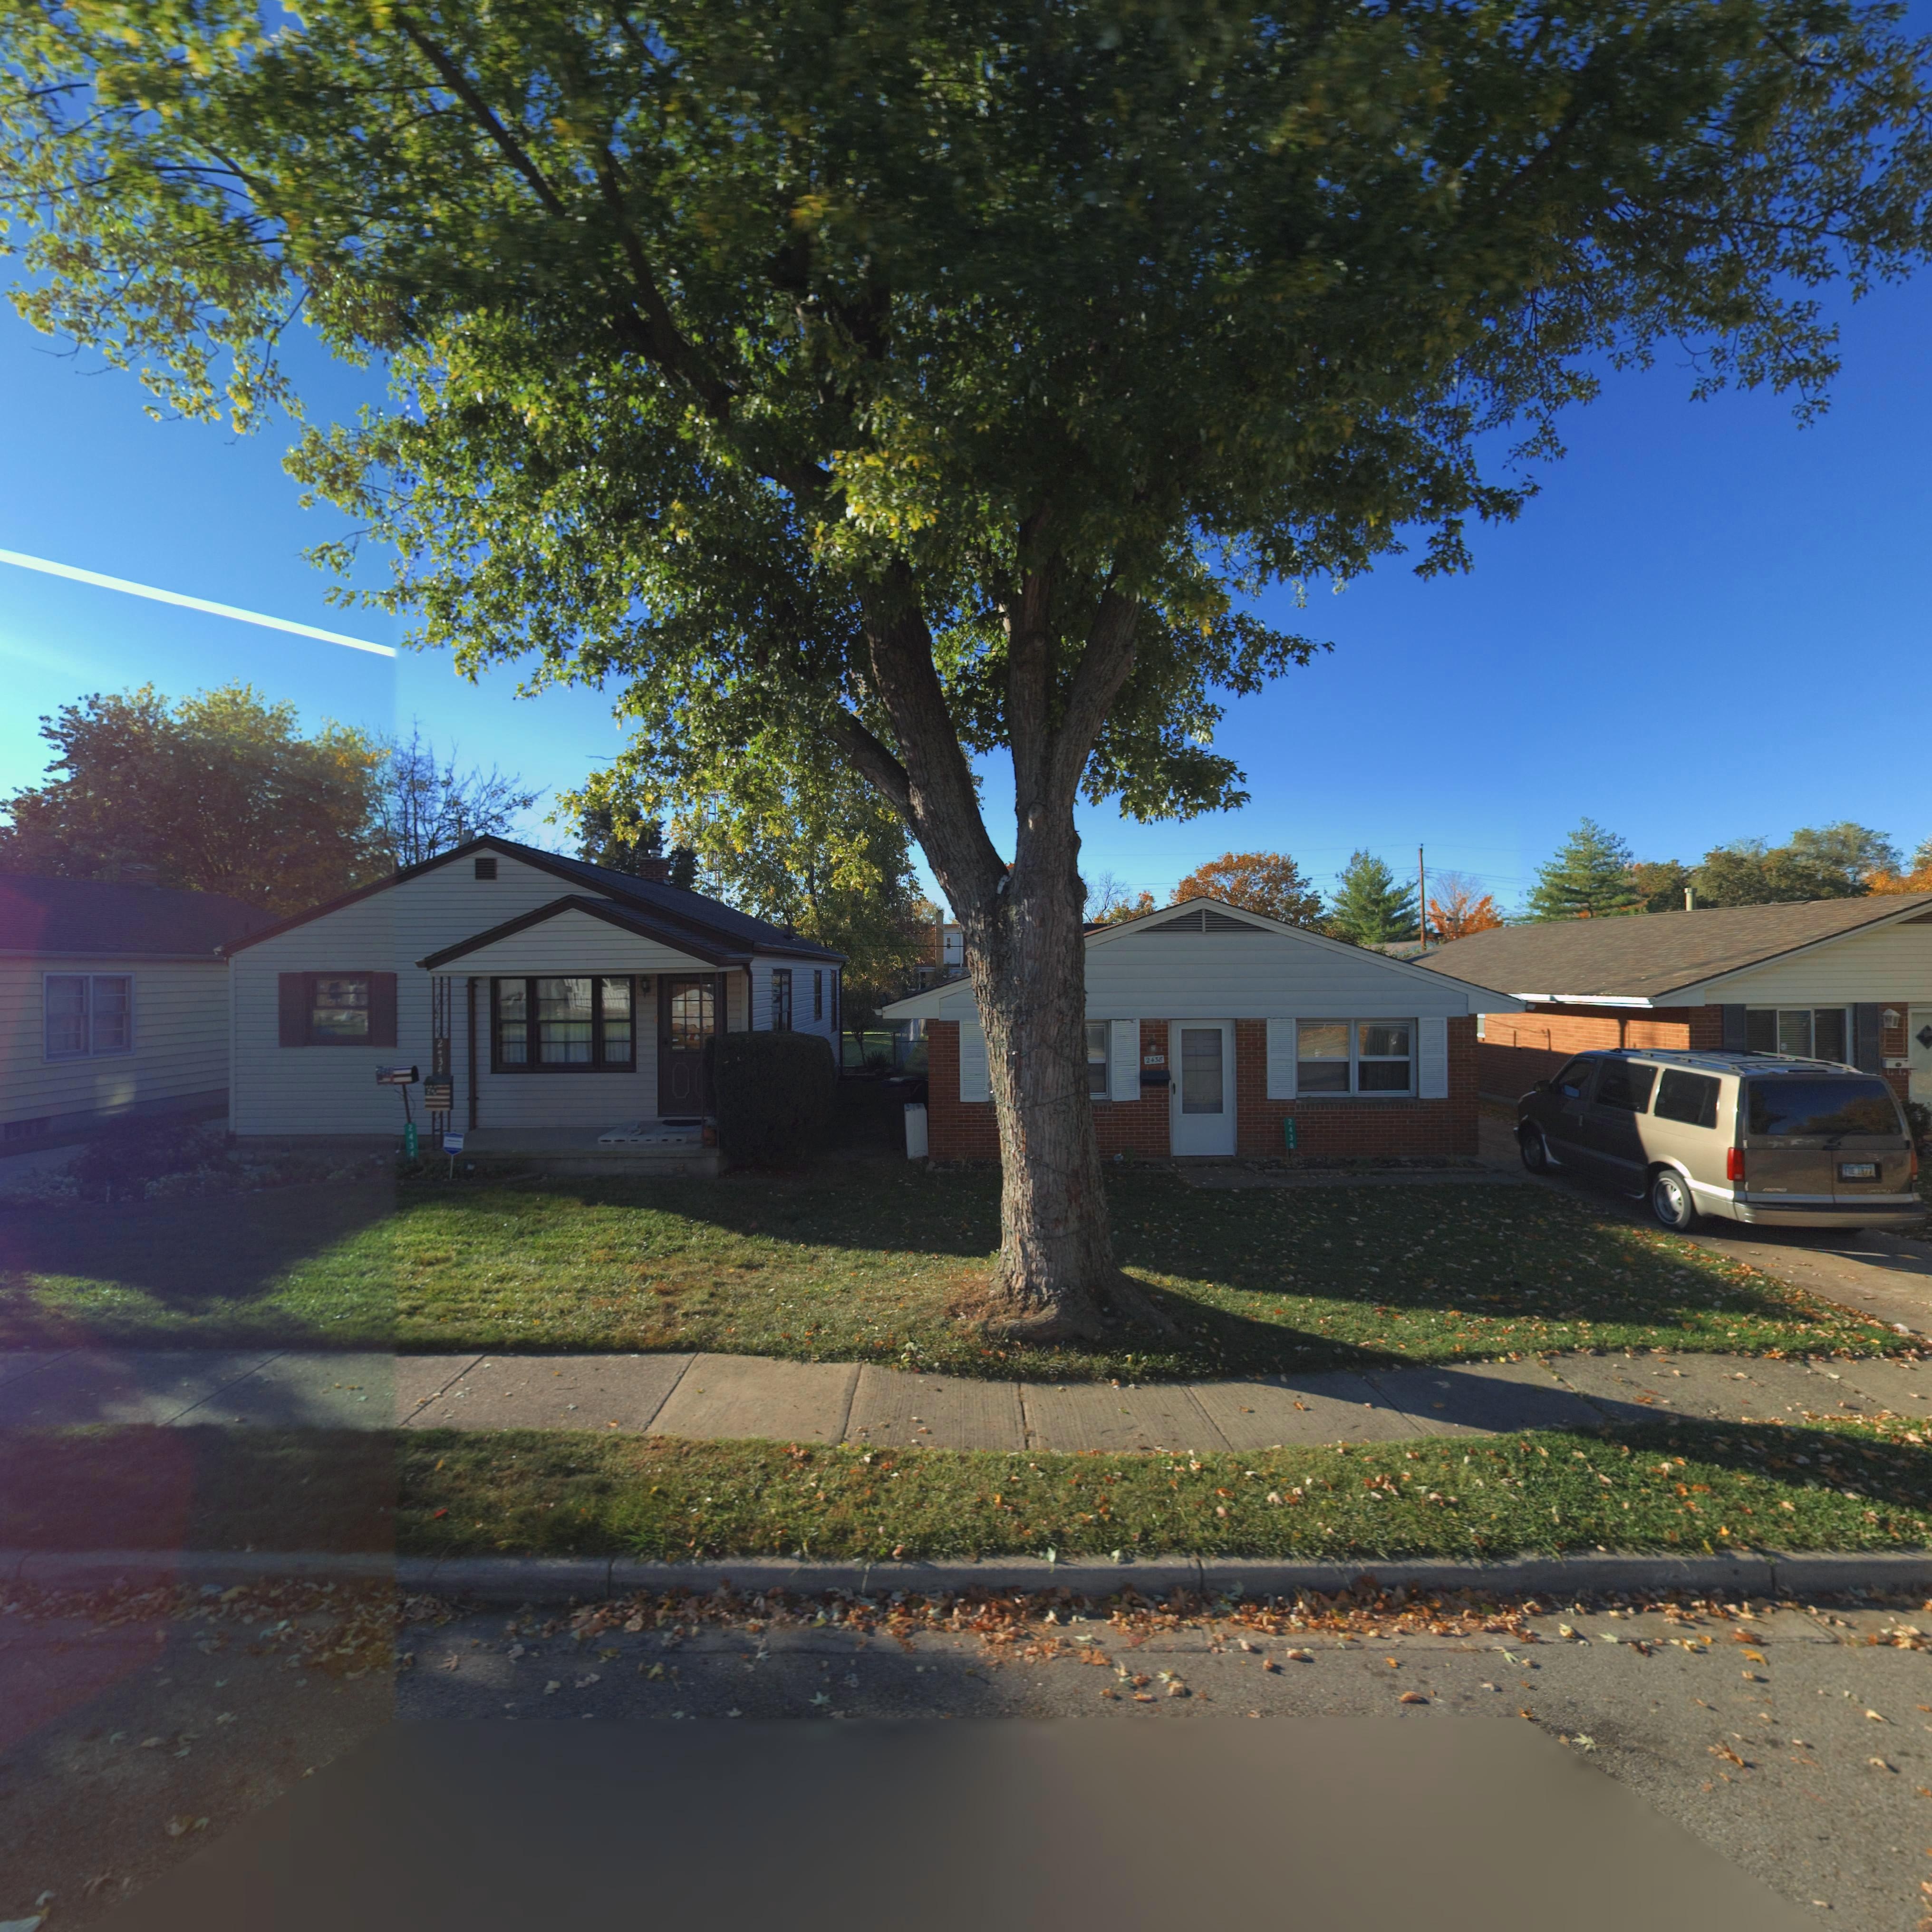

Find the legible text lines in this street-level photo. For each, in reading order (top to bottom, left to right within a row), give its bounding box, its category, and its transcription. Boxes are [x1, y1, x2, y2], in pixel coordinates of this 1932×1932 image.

[436, 1038, 444, 1075] StreetNumber: 2434
[1145, 1056, 1163, 1063] StreetNumber: 2438
[407, 1123, 415, 1158] StreetNumber: 2434
[1287, 1118, 1295, 1149] StreetNumber: 2438